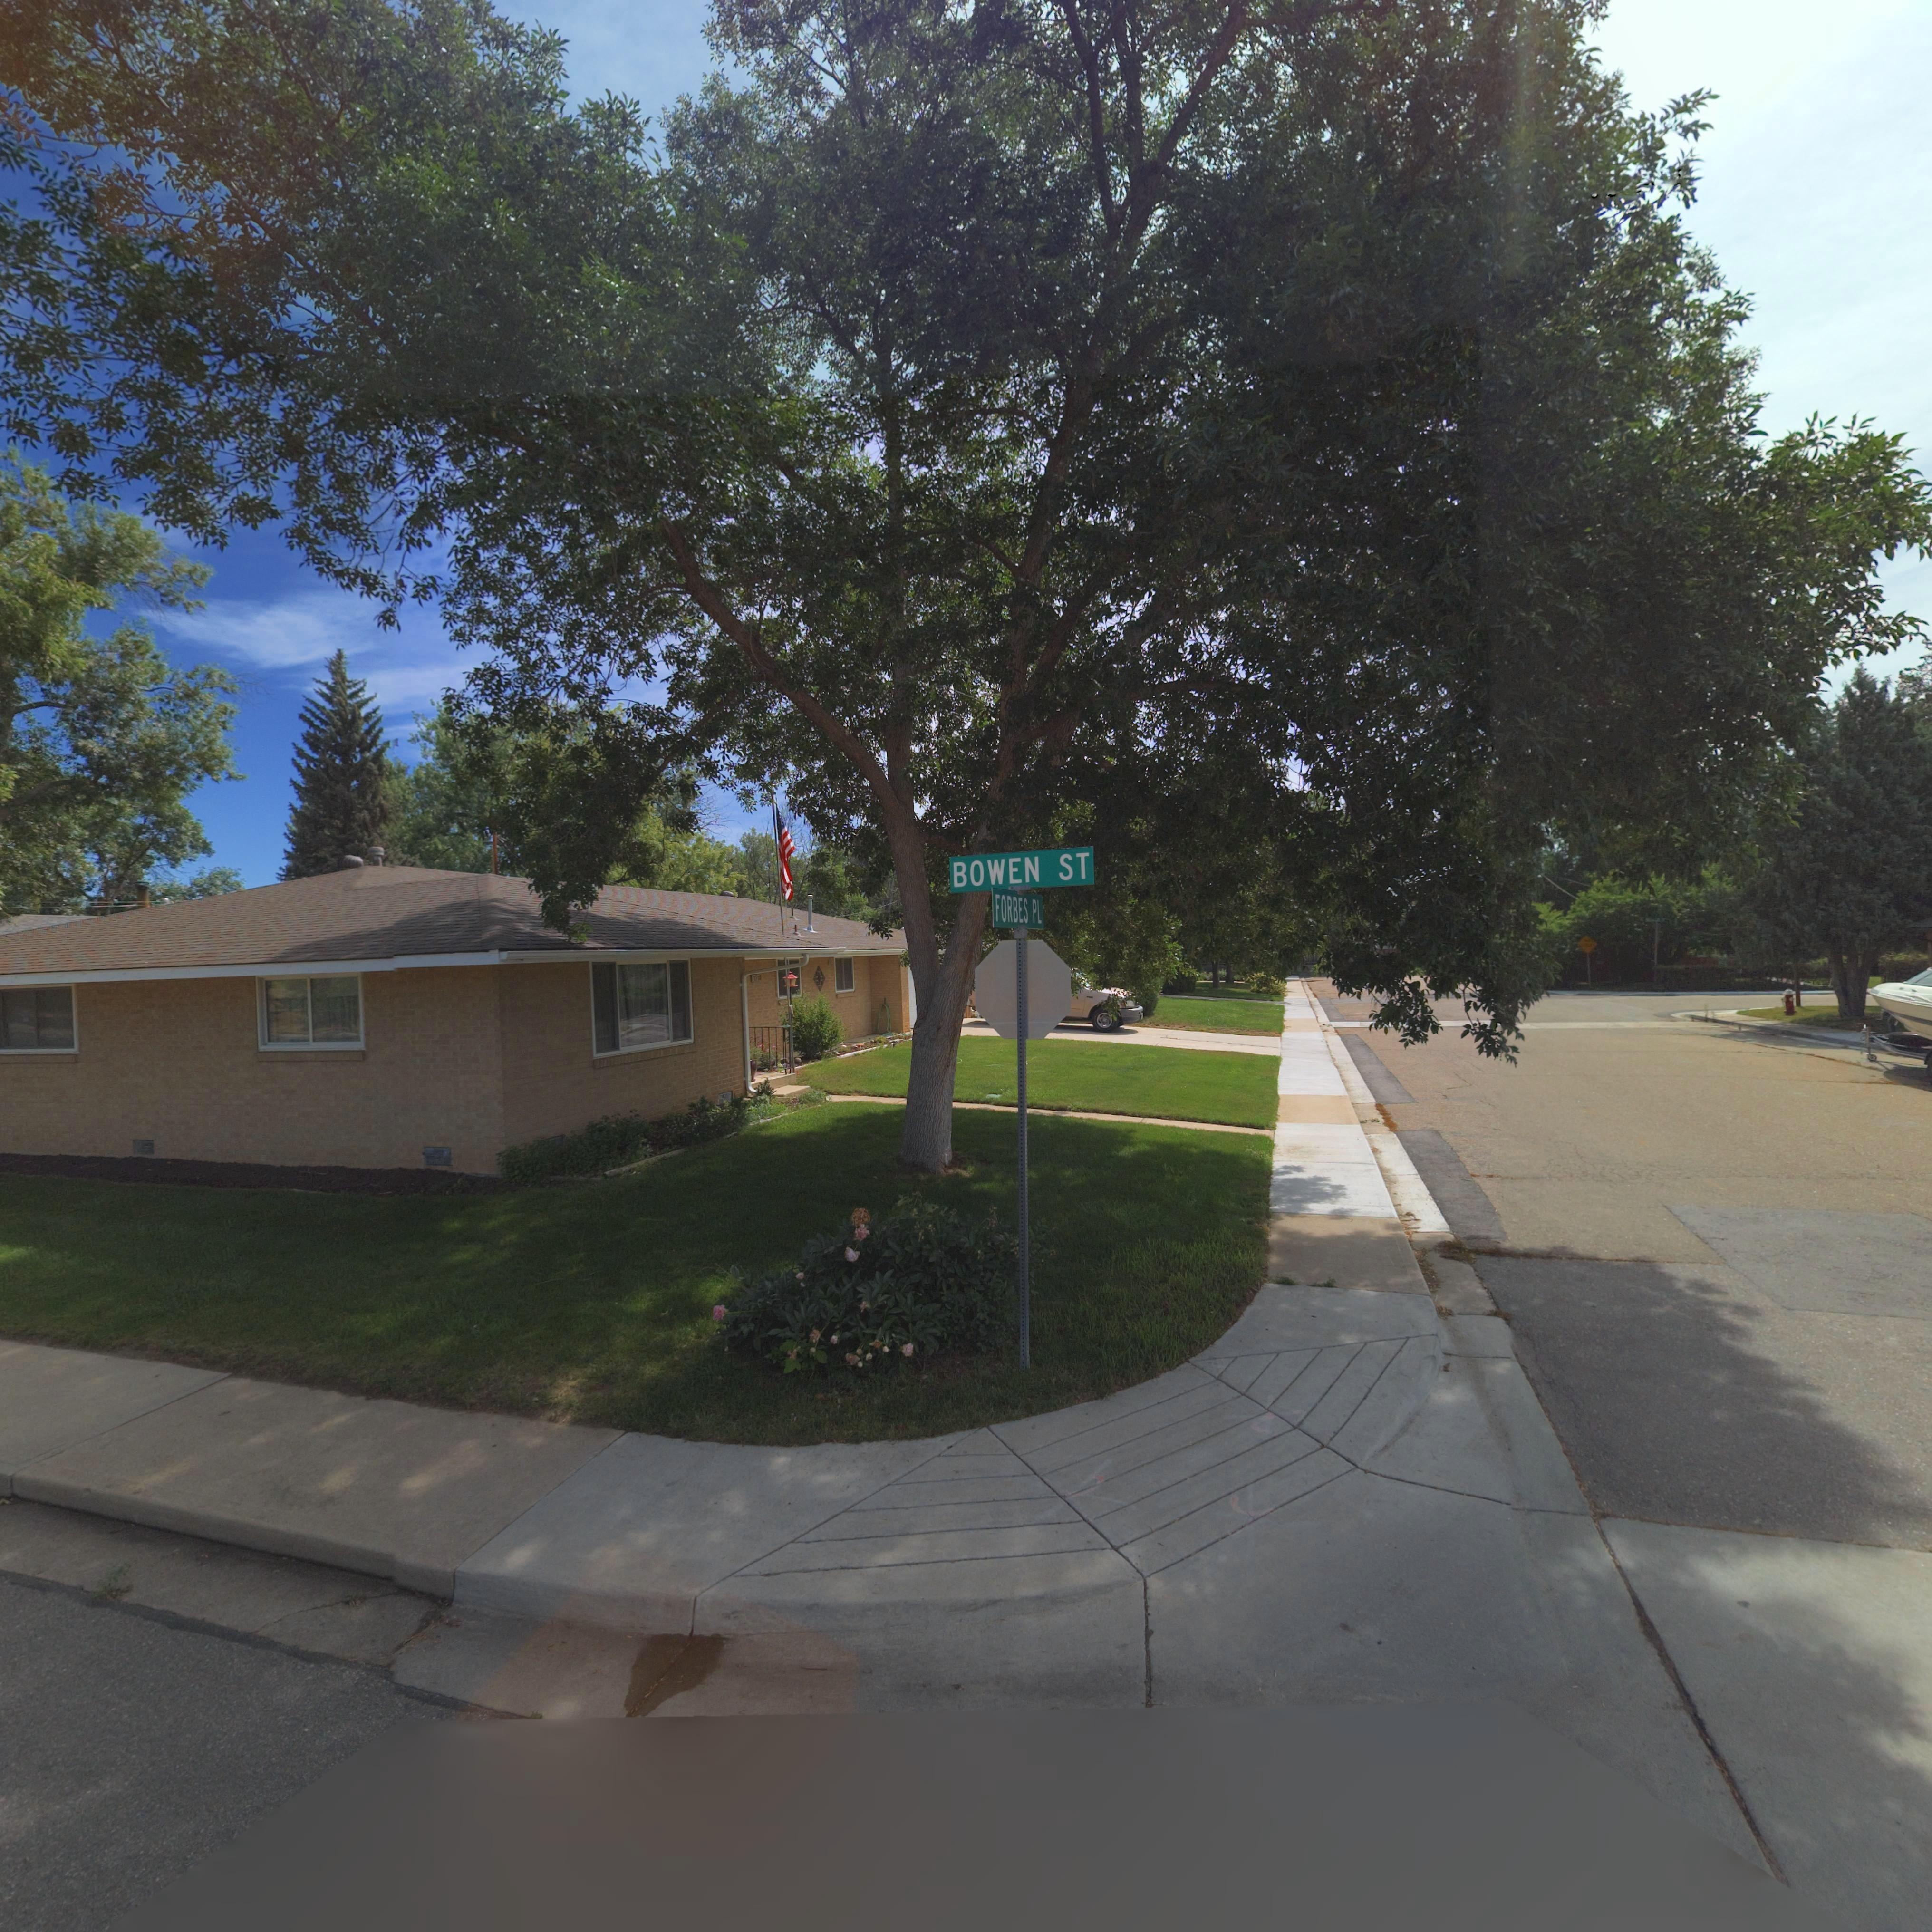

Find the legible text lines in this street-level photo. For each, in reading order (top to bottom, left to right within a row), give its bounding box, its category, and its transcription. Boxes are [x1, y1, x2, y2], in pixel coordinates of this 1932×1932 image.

[952, 851, 1090, 889] StreetName: BOWEN ST
[995, 892, 1042, 925] StreetName: FORBES PL